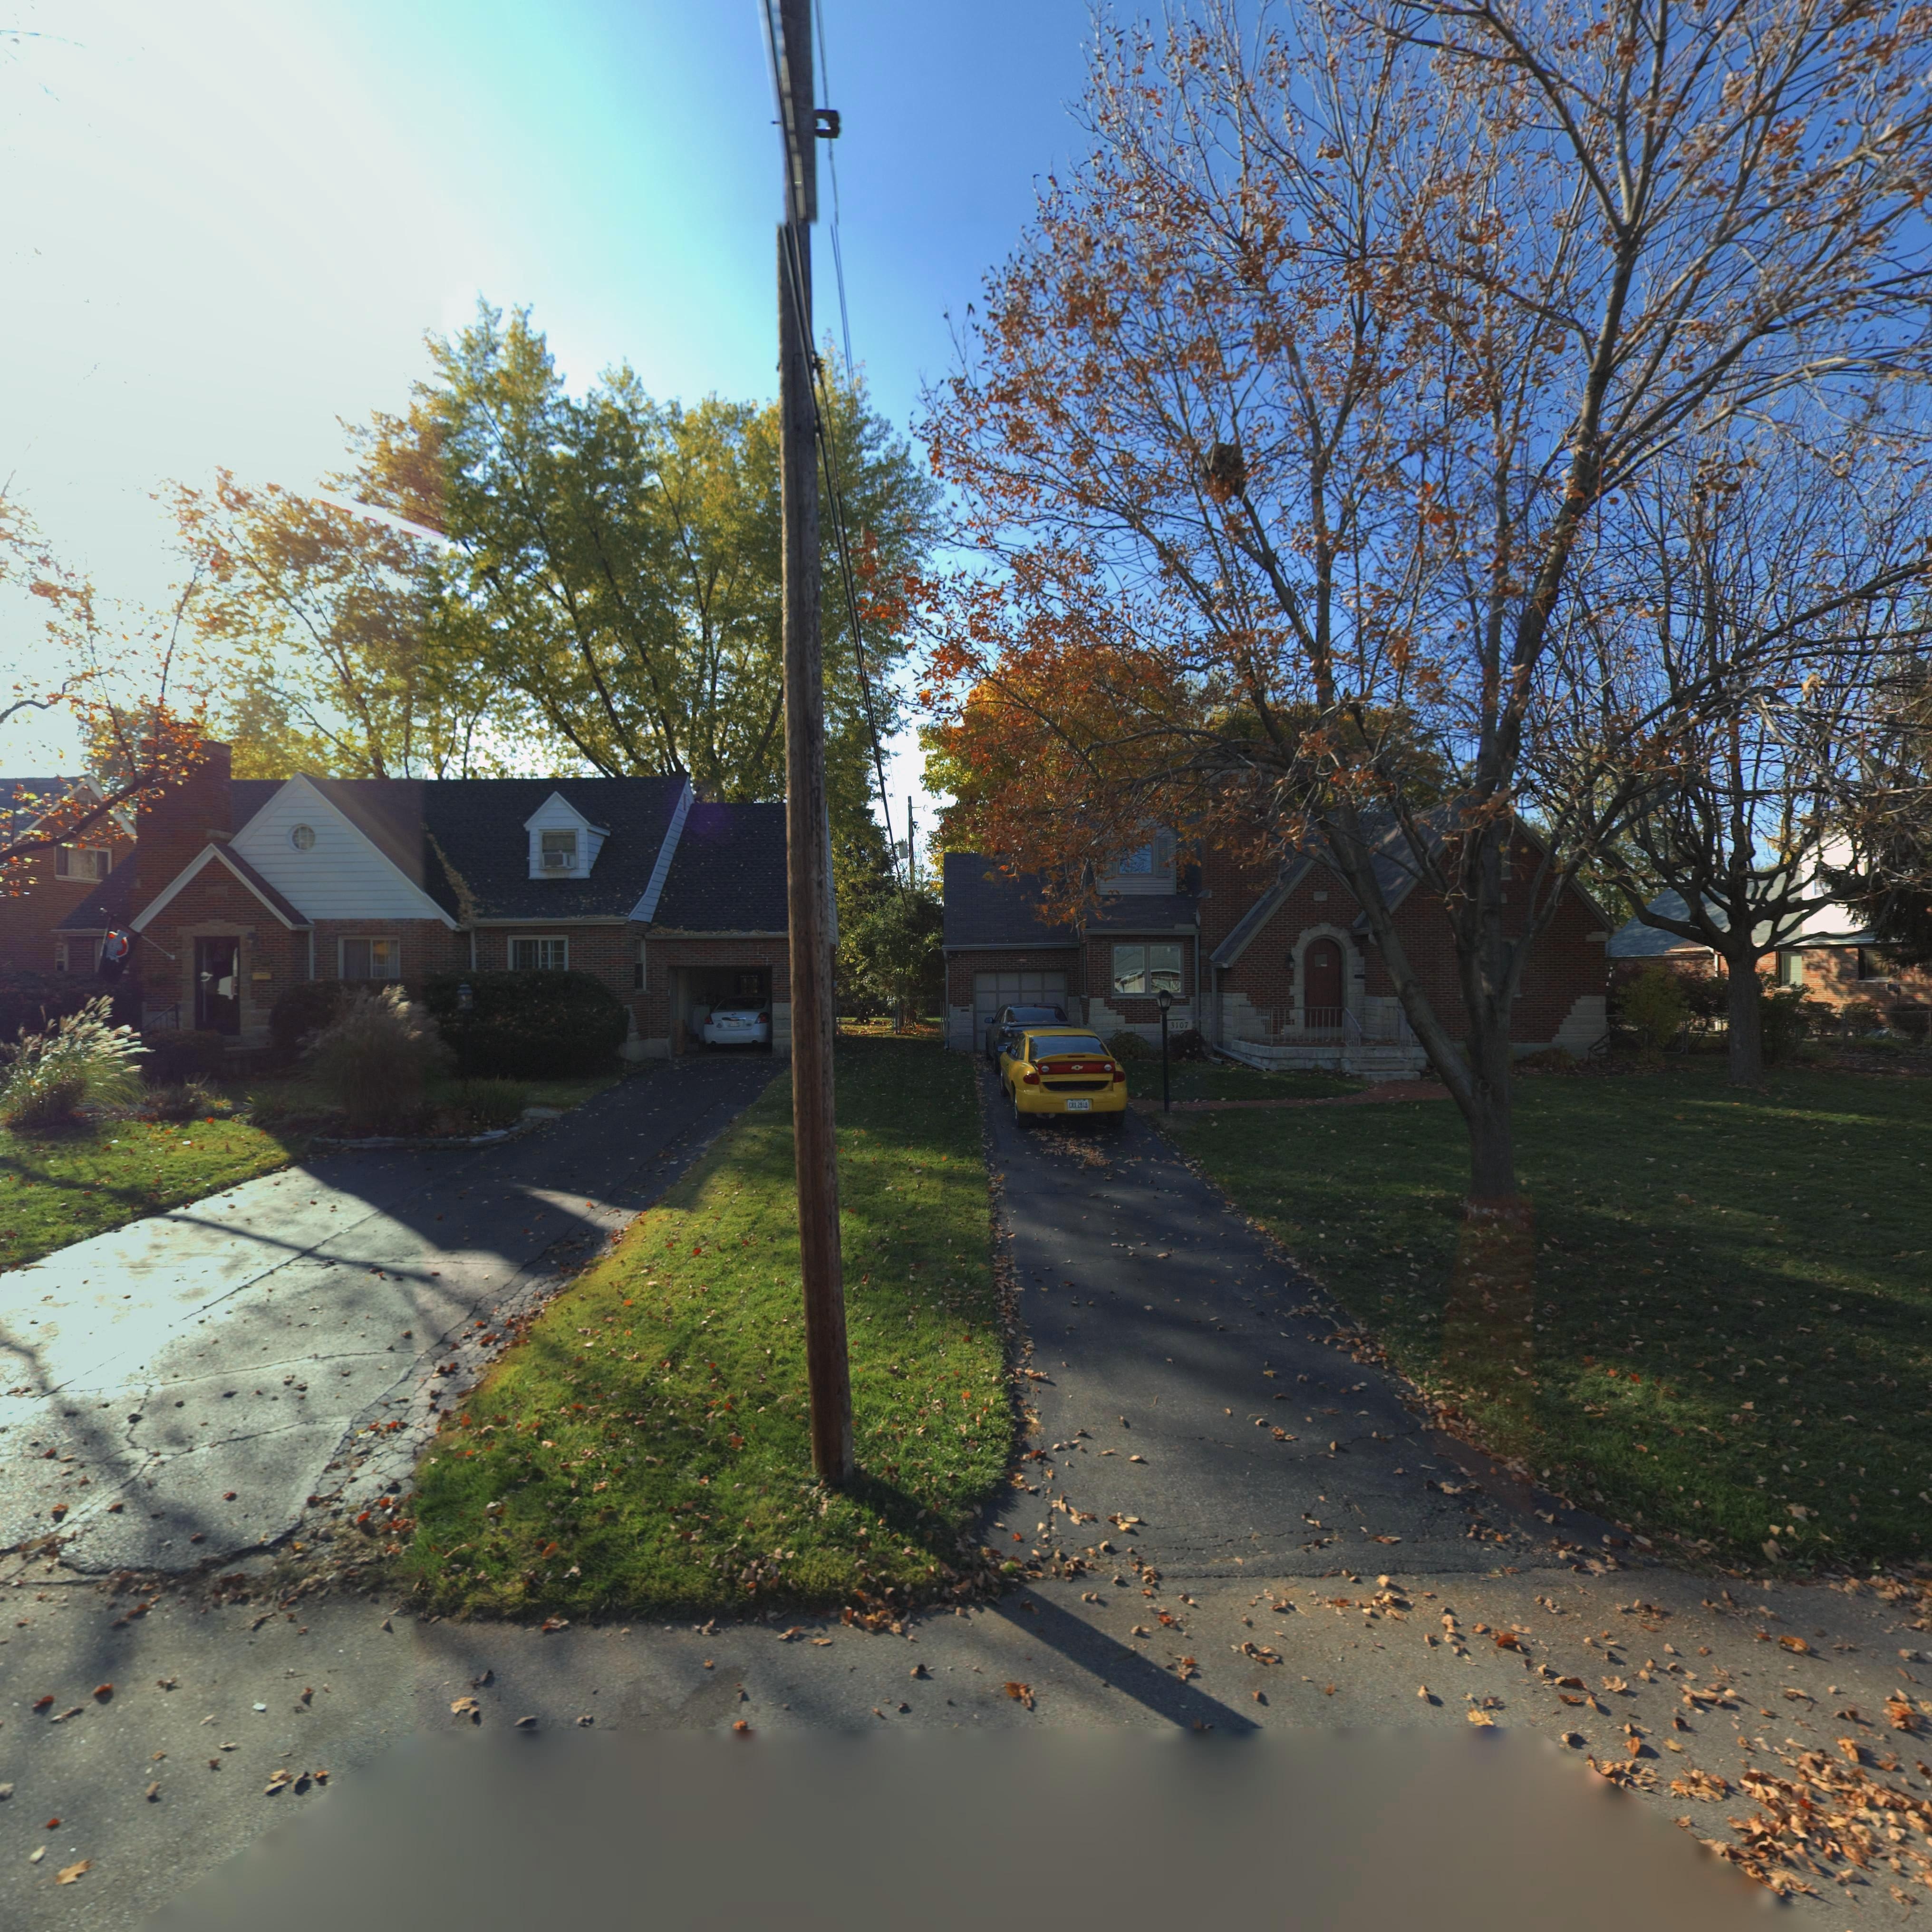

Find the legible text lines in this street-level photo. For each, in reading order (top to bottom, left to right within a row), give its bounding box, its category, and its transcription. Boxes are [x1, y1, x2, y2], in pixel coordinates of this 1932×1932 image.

[1170, 1021, 1189, 1029] StreetNumber: 3107